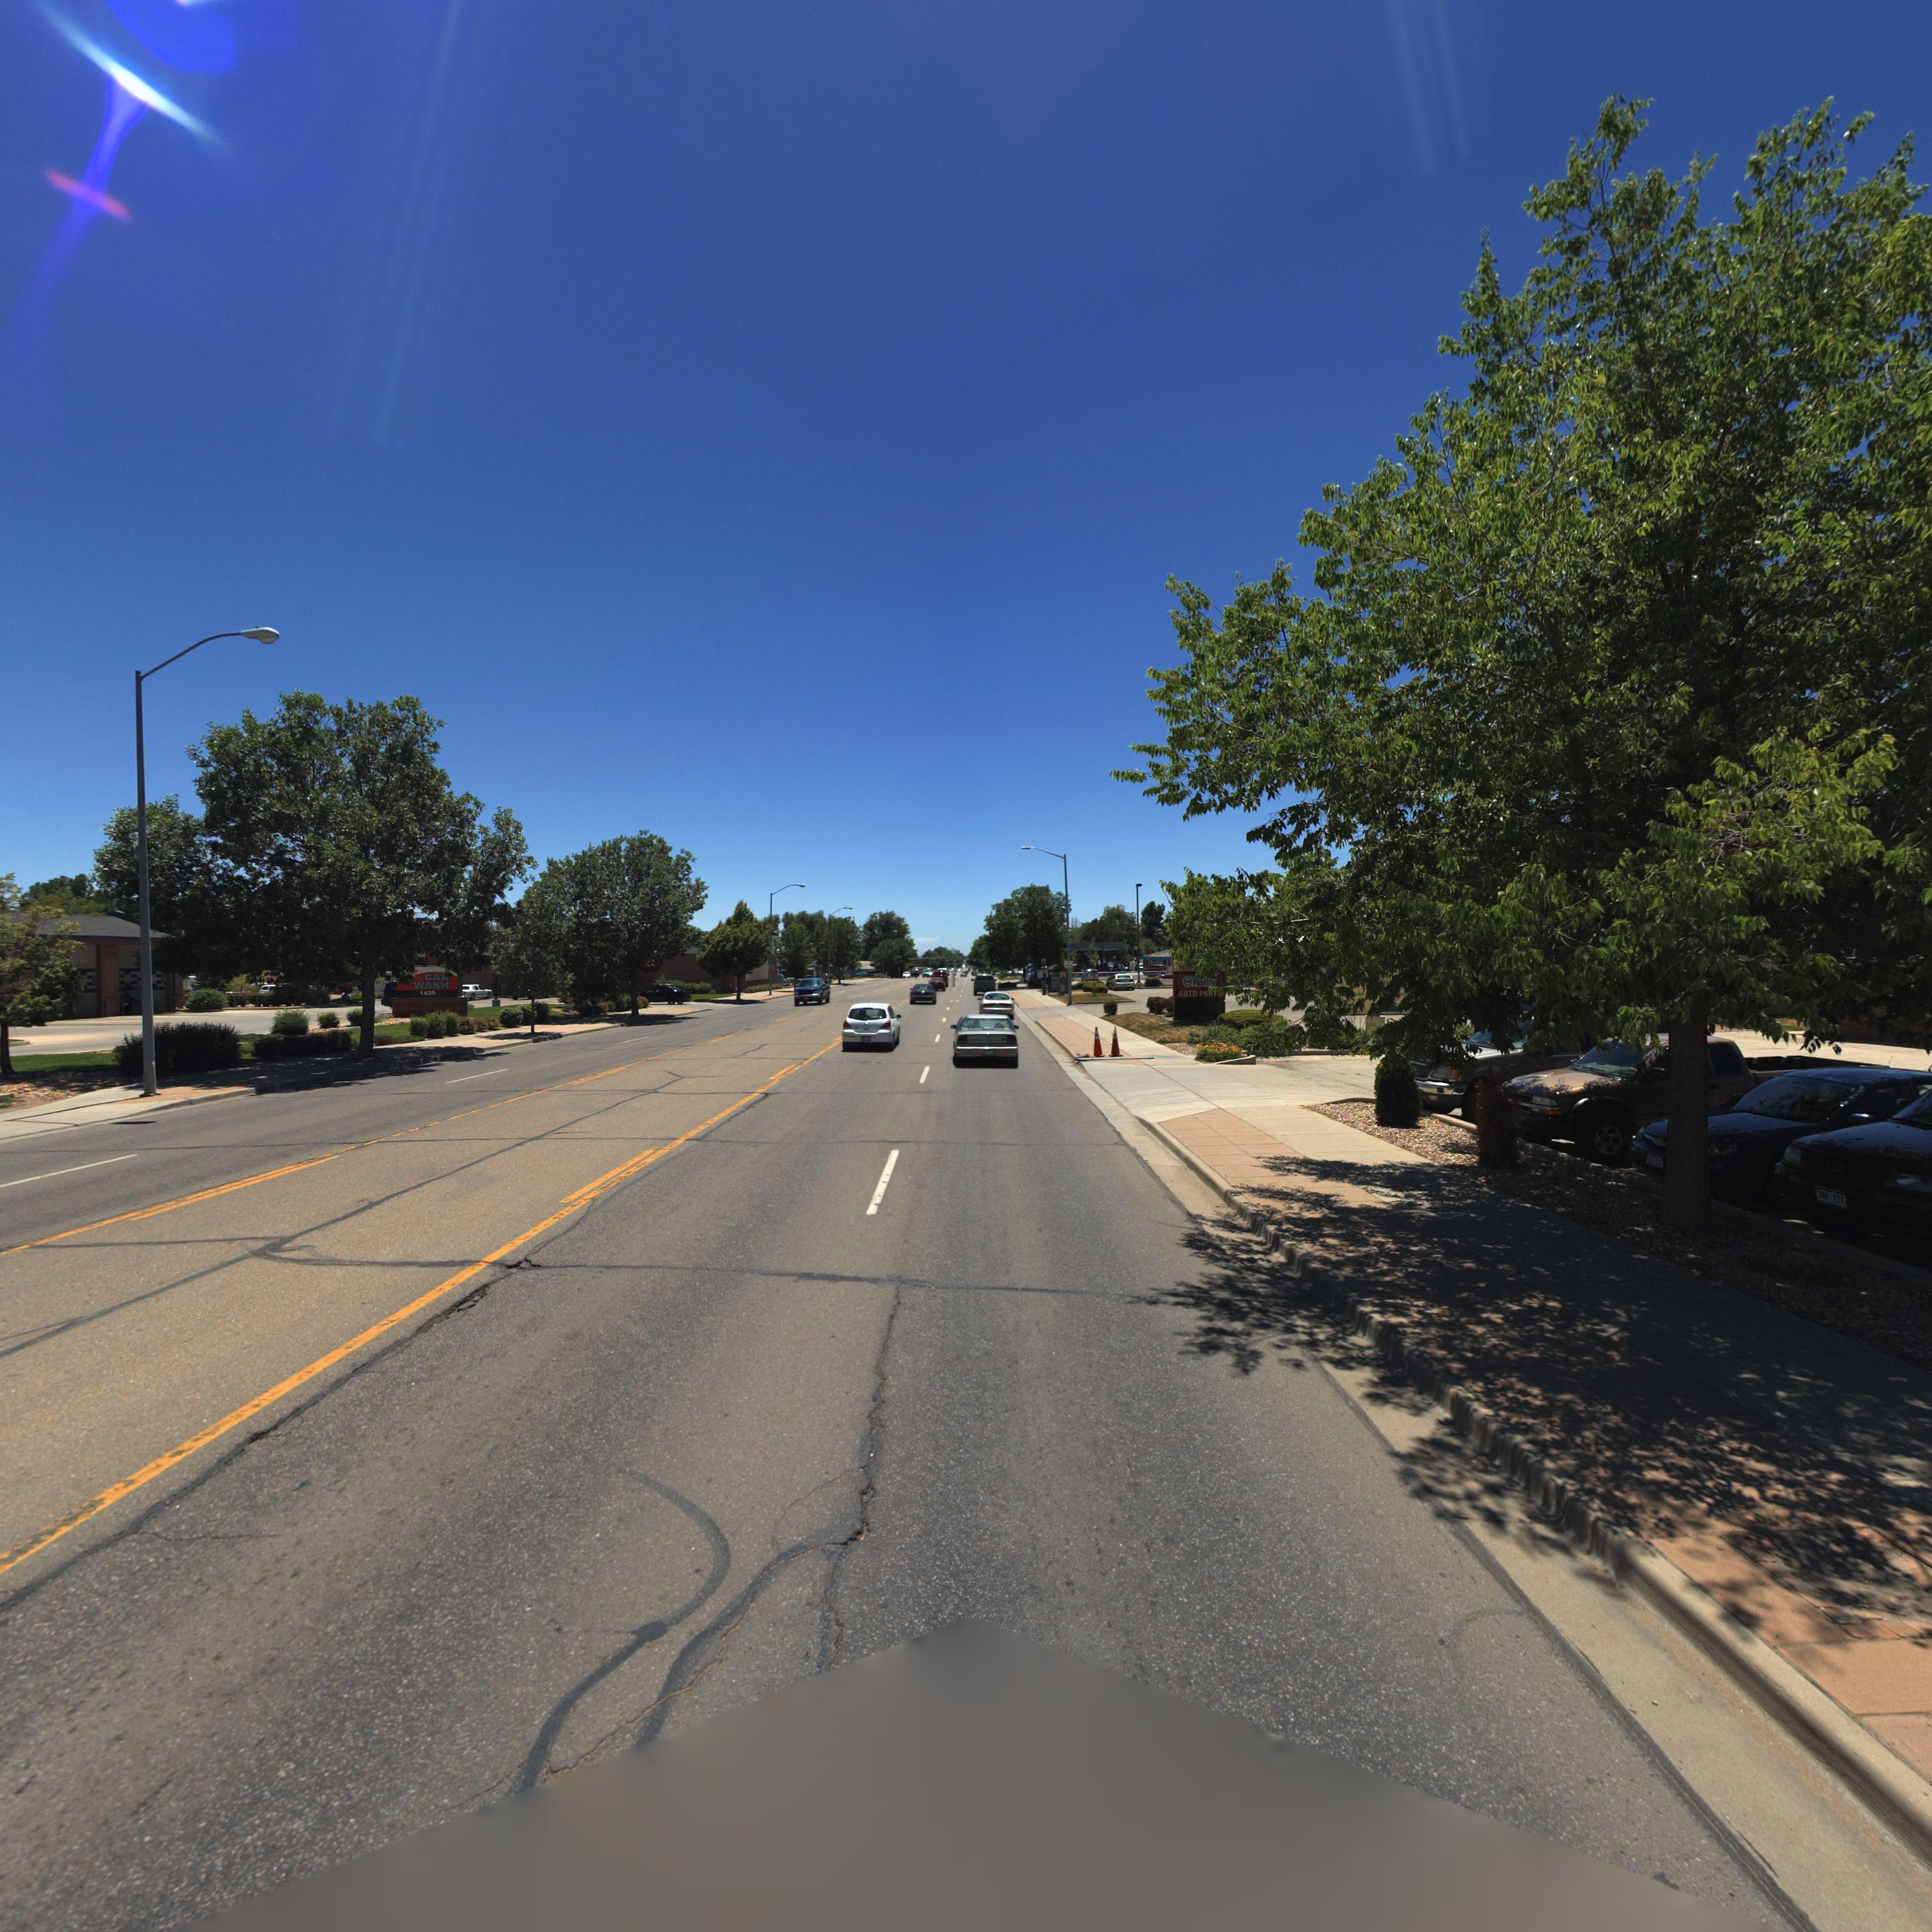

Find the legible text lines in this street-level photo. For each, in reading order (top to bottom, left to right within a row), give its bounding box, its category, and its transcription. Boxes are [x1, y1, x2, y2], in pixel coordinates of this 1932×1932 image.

[1182, 975, 1217, 988] BusinessName: O'Reilly
[419, 991, 435, 995] StreetNumber: 1420
[1178, 989, 1217, 997] BusinessName: AUTO PA***